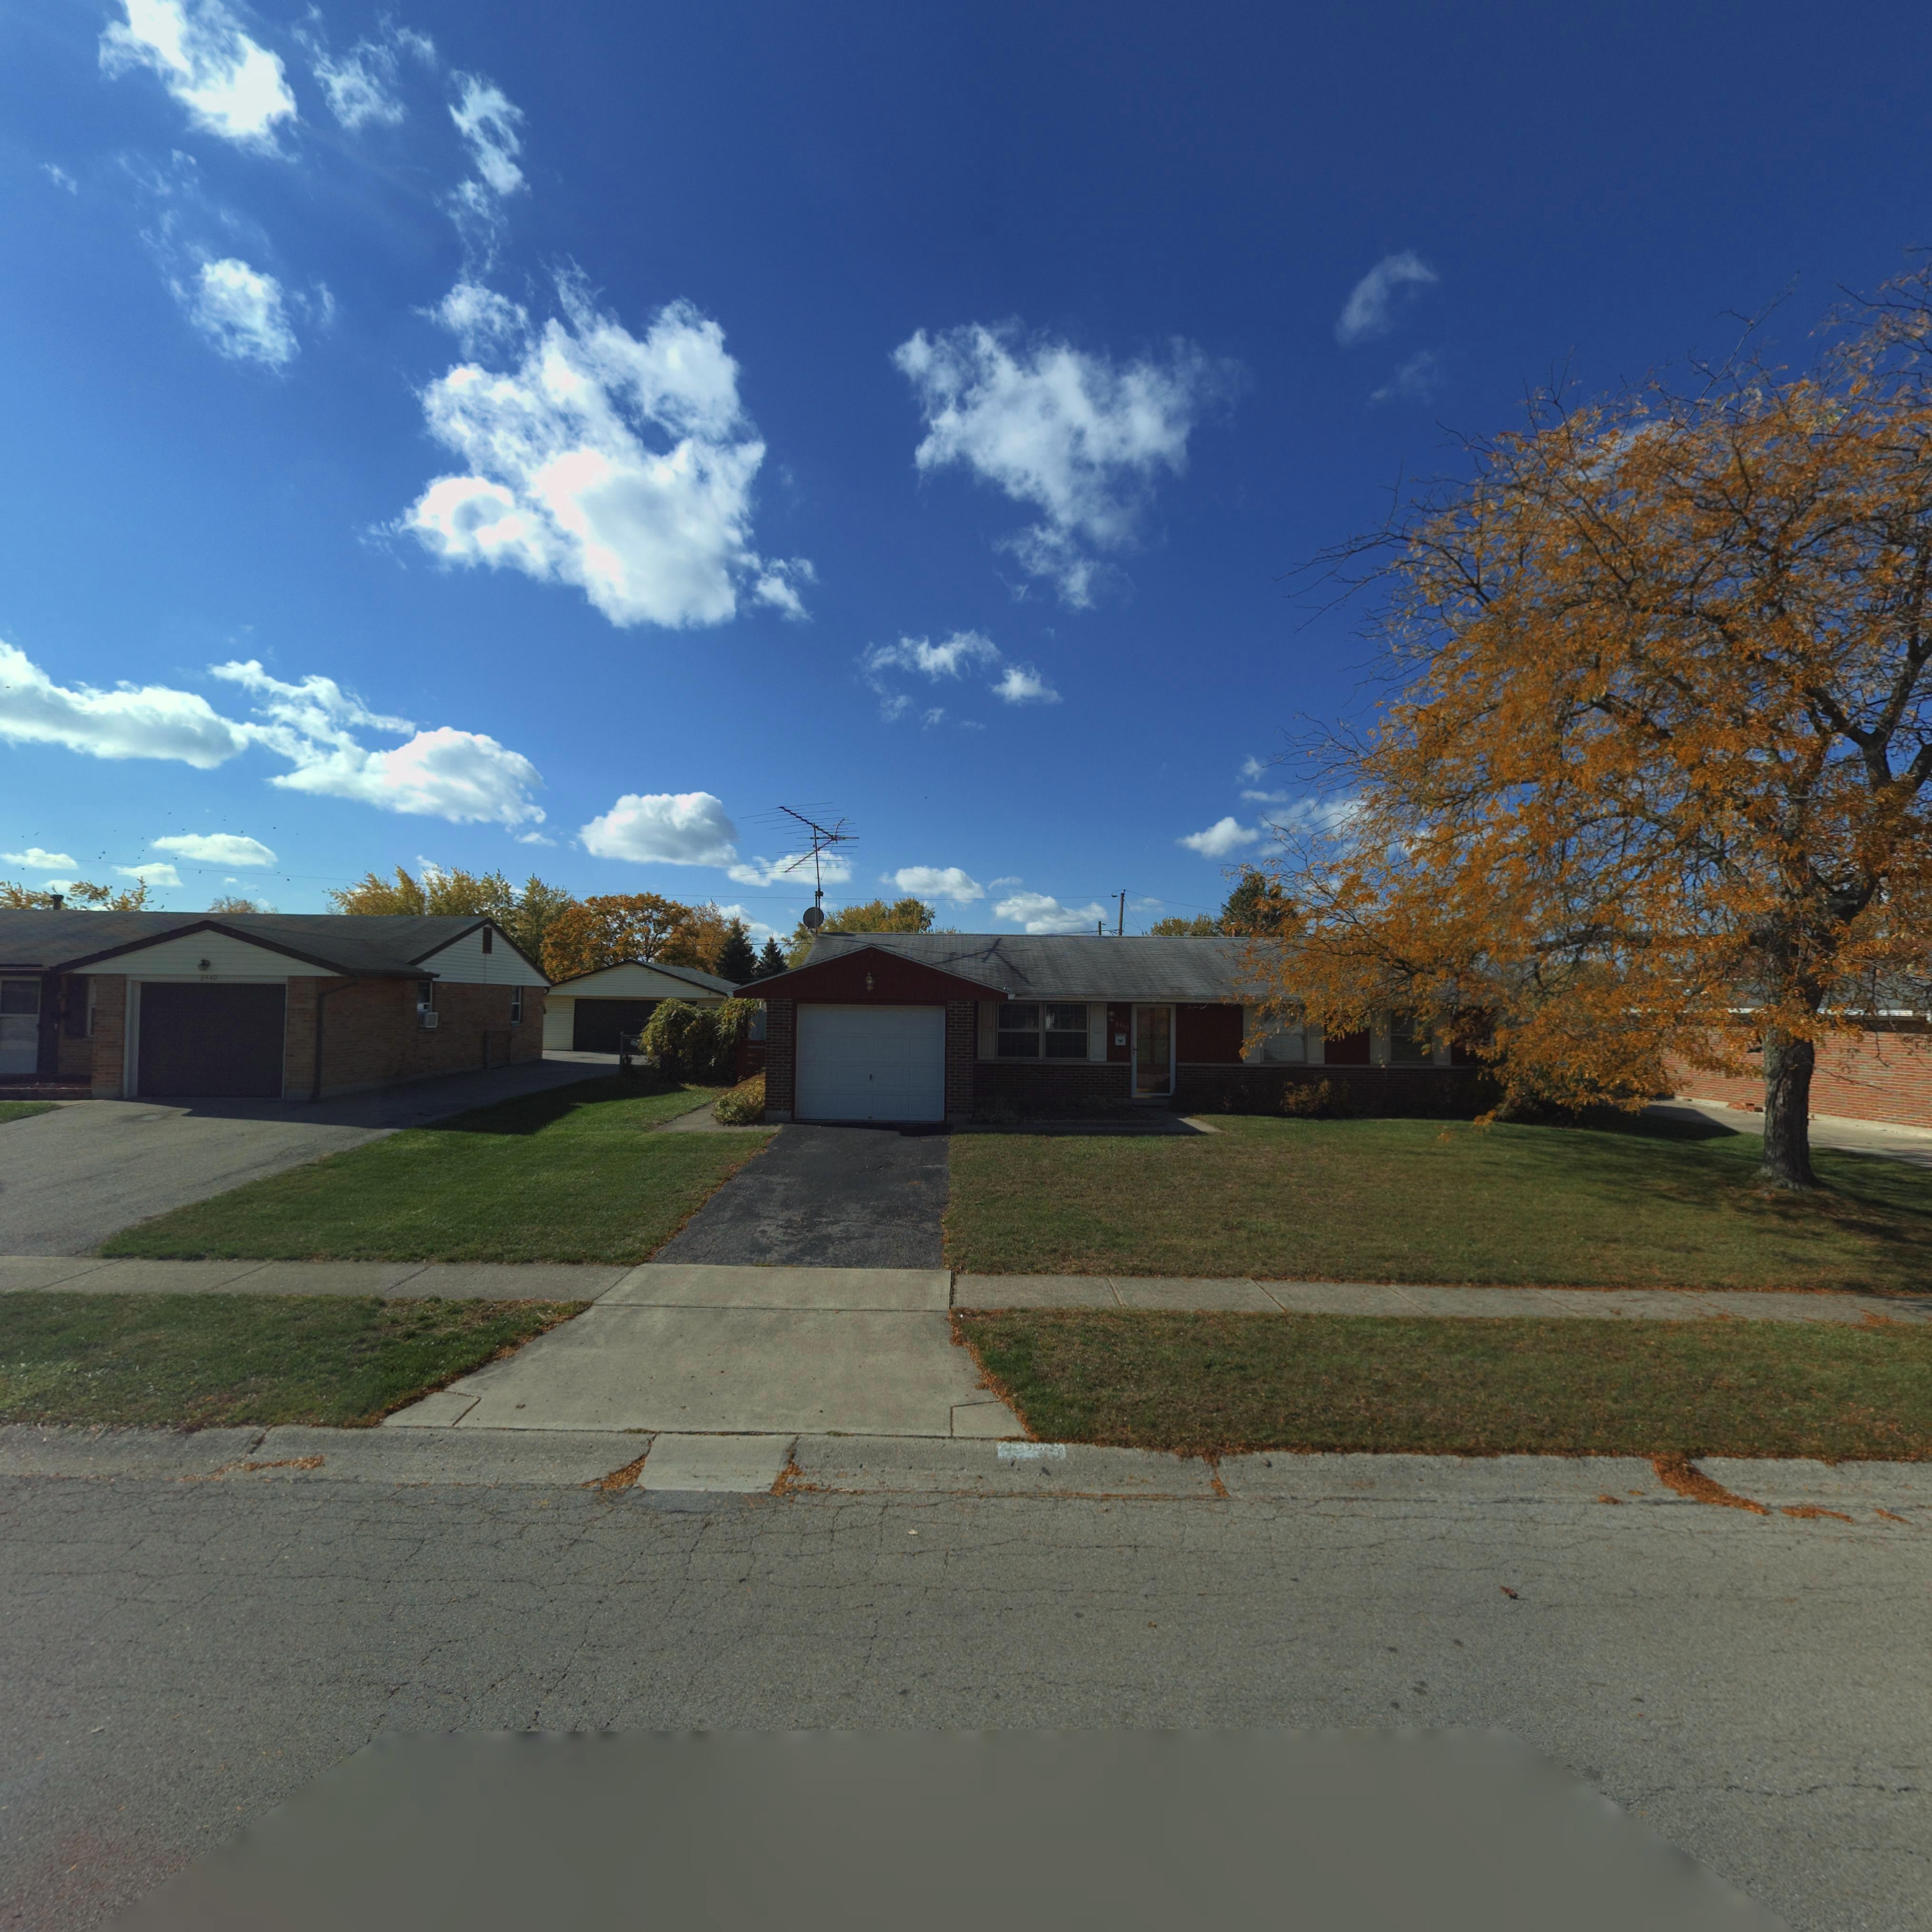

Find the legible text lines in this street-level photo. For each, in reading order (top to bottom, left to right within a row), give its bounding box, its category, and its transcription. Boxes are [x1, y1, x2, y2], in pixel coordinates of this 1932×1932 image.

[199, 974, 218, 981] StreetNumber: 6440
[1114, 1020, 1130, 1031] StreetNumber: 6430